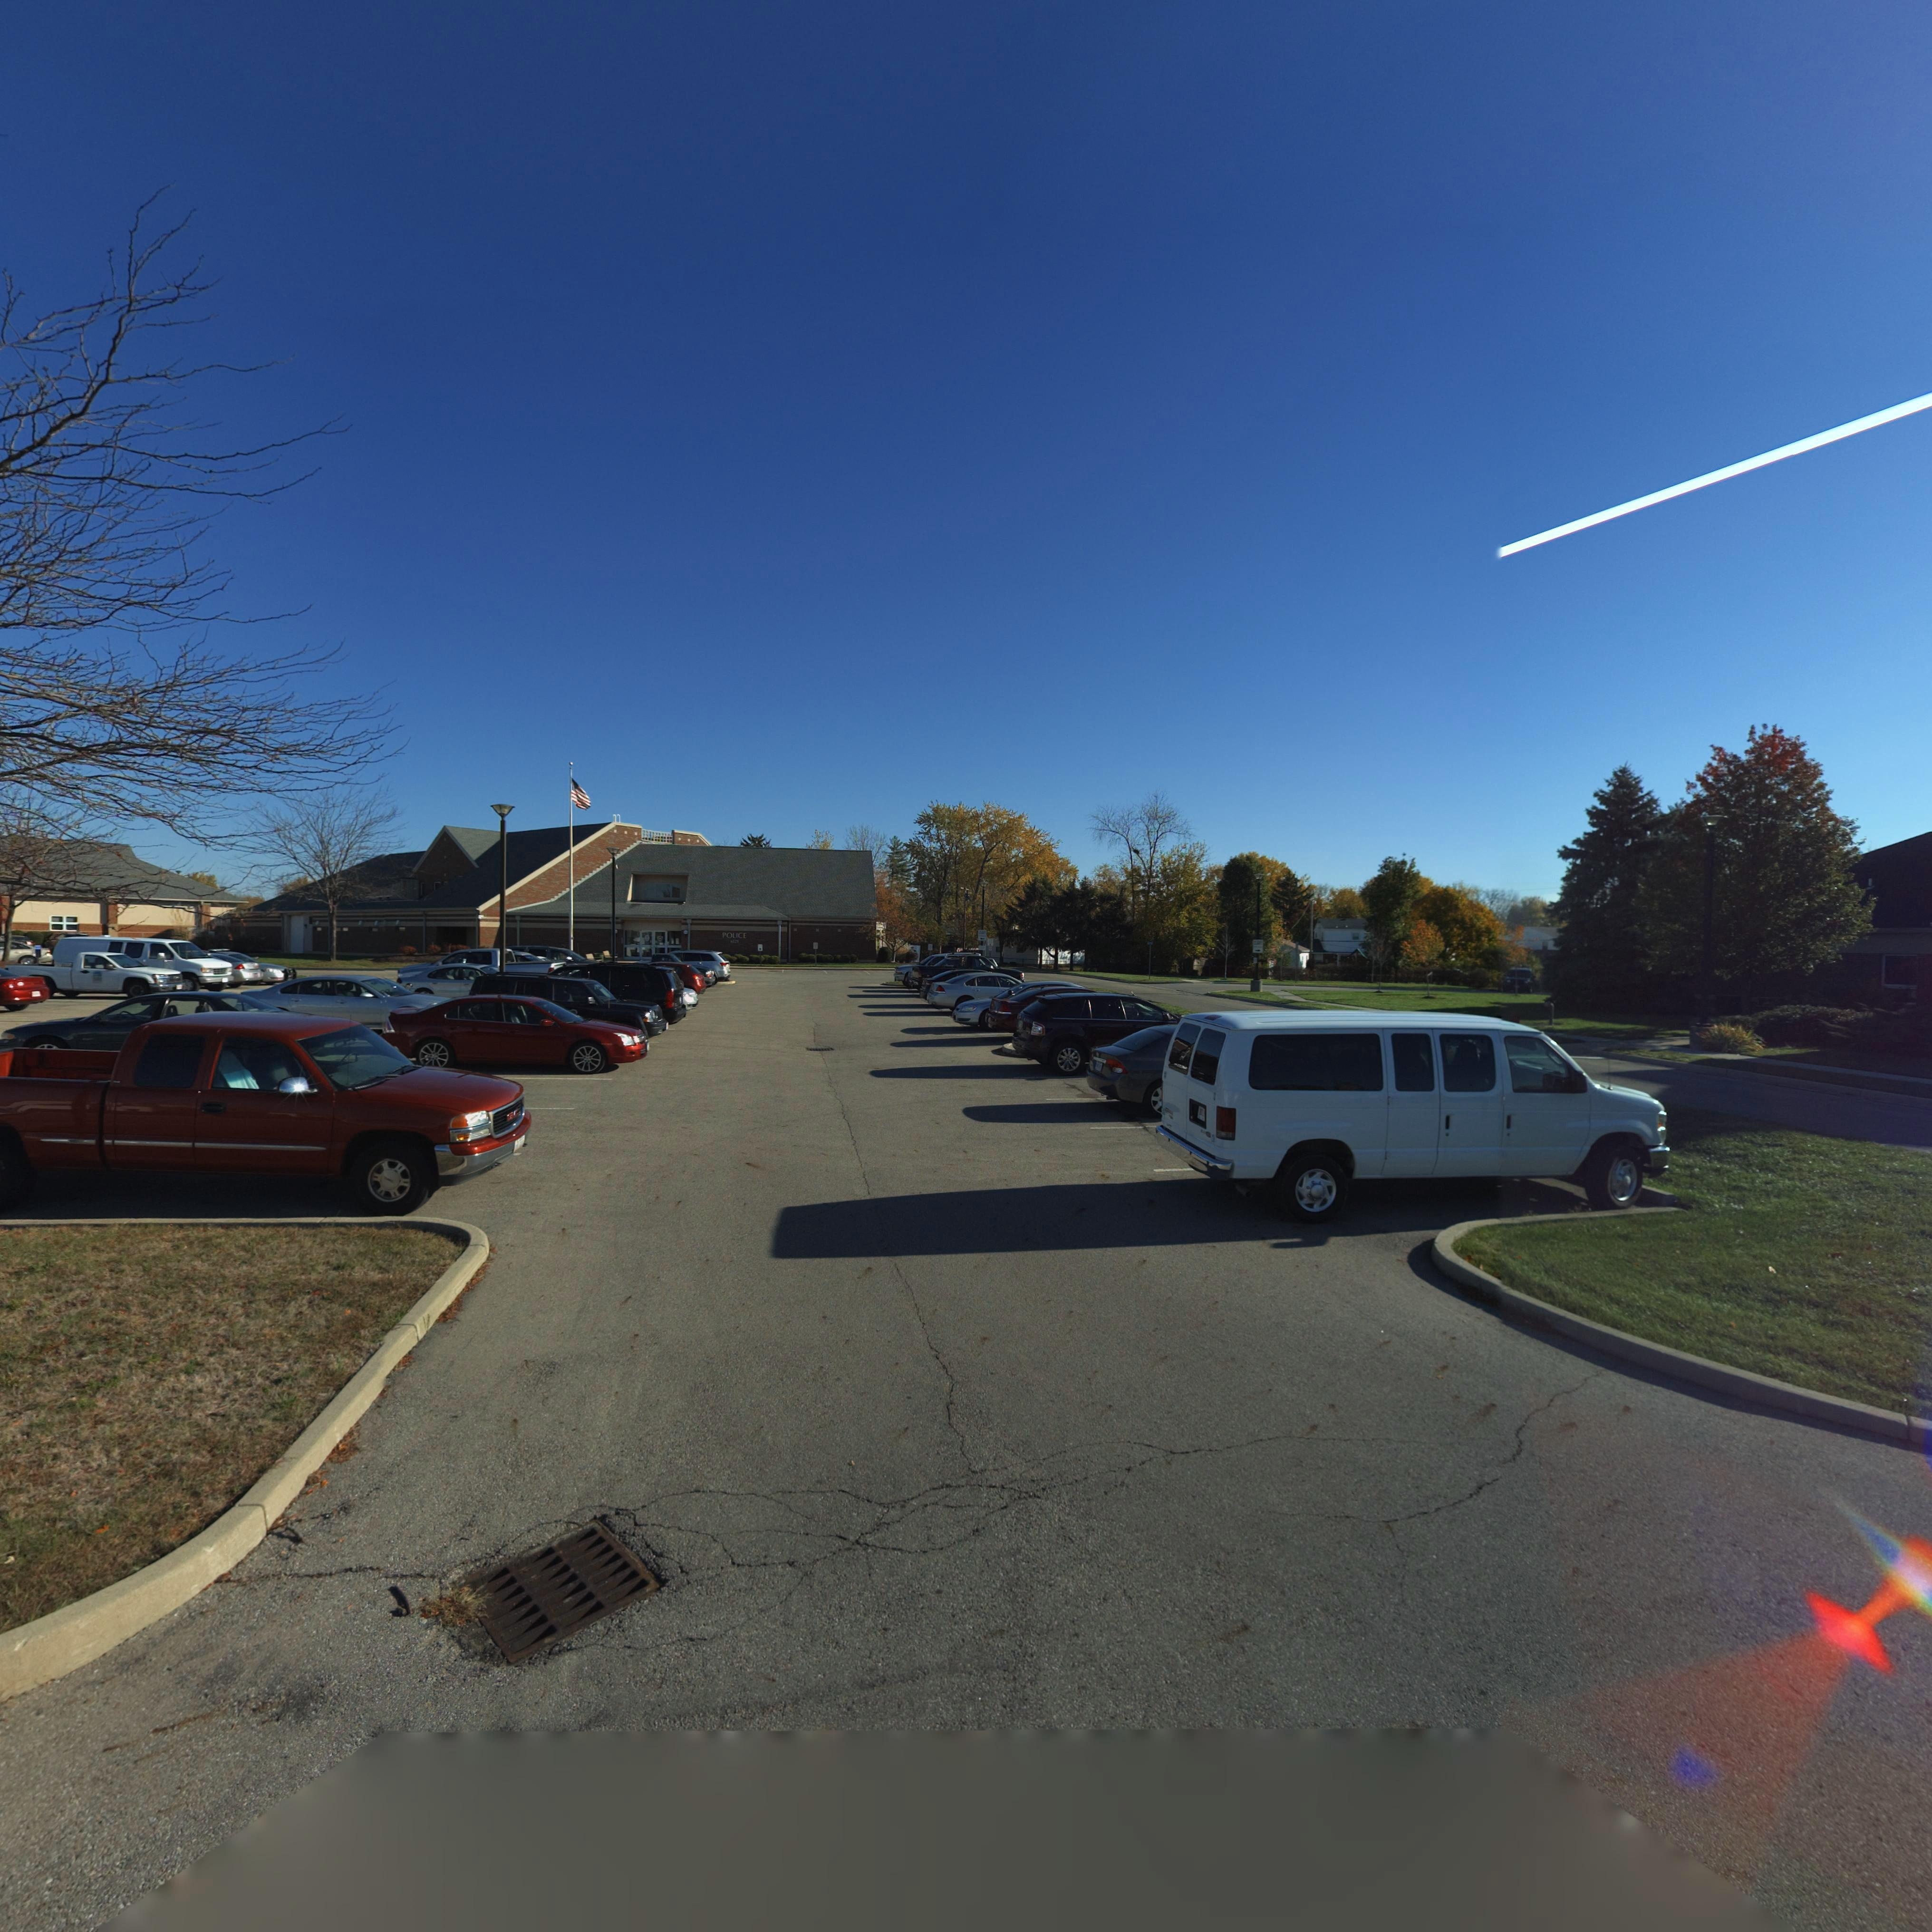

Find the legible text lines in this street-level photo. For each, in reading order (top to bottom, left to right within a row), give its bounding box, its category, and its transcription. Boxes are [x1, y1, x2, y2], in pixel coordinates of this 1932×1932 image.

[730, 939, 739, 944] StreetNumber: 6121